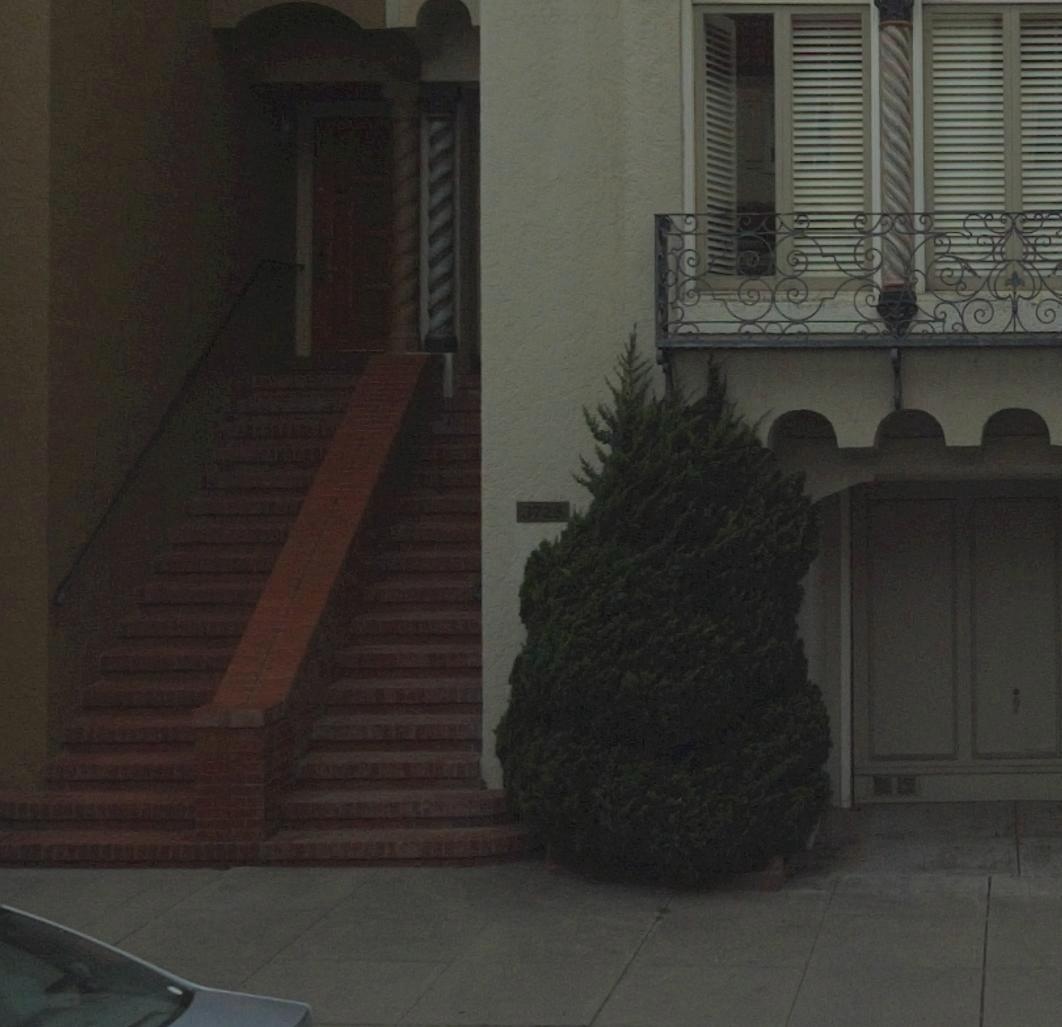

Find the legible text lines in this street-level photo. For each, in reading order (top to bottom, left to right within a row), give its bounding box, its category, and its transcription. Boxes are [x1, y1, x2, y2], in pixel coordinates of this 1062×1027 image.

[518, 503, 566, 522] StreetNumber: 3725